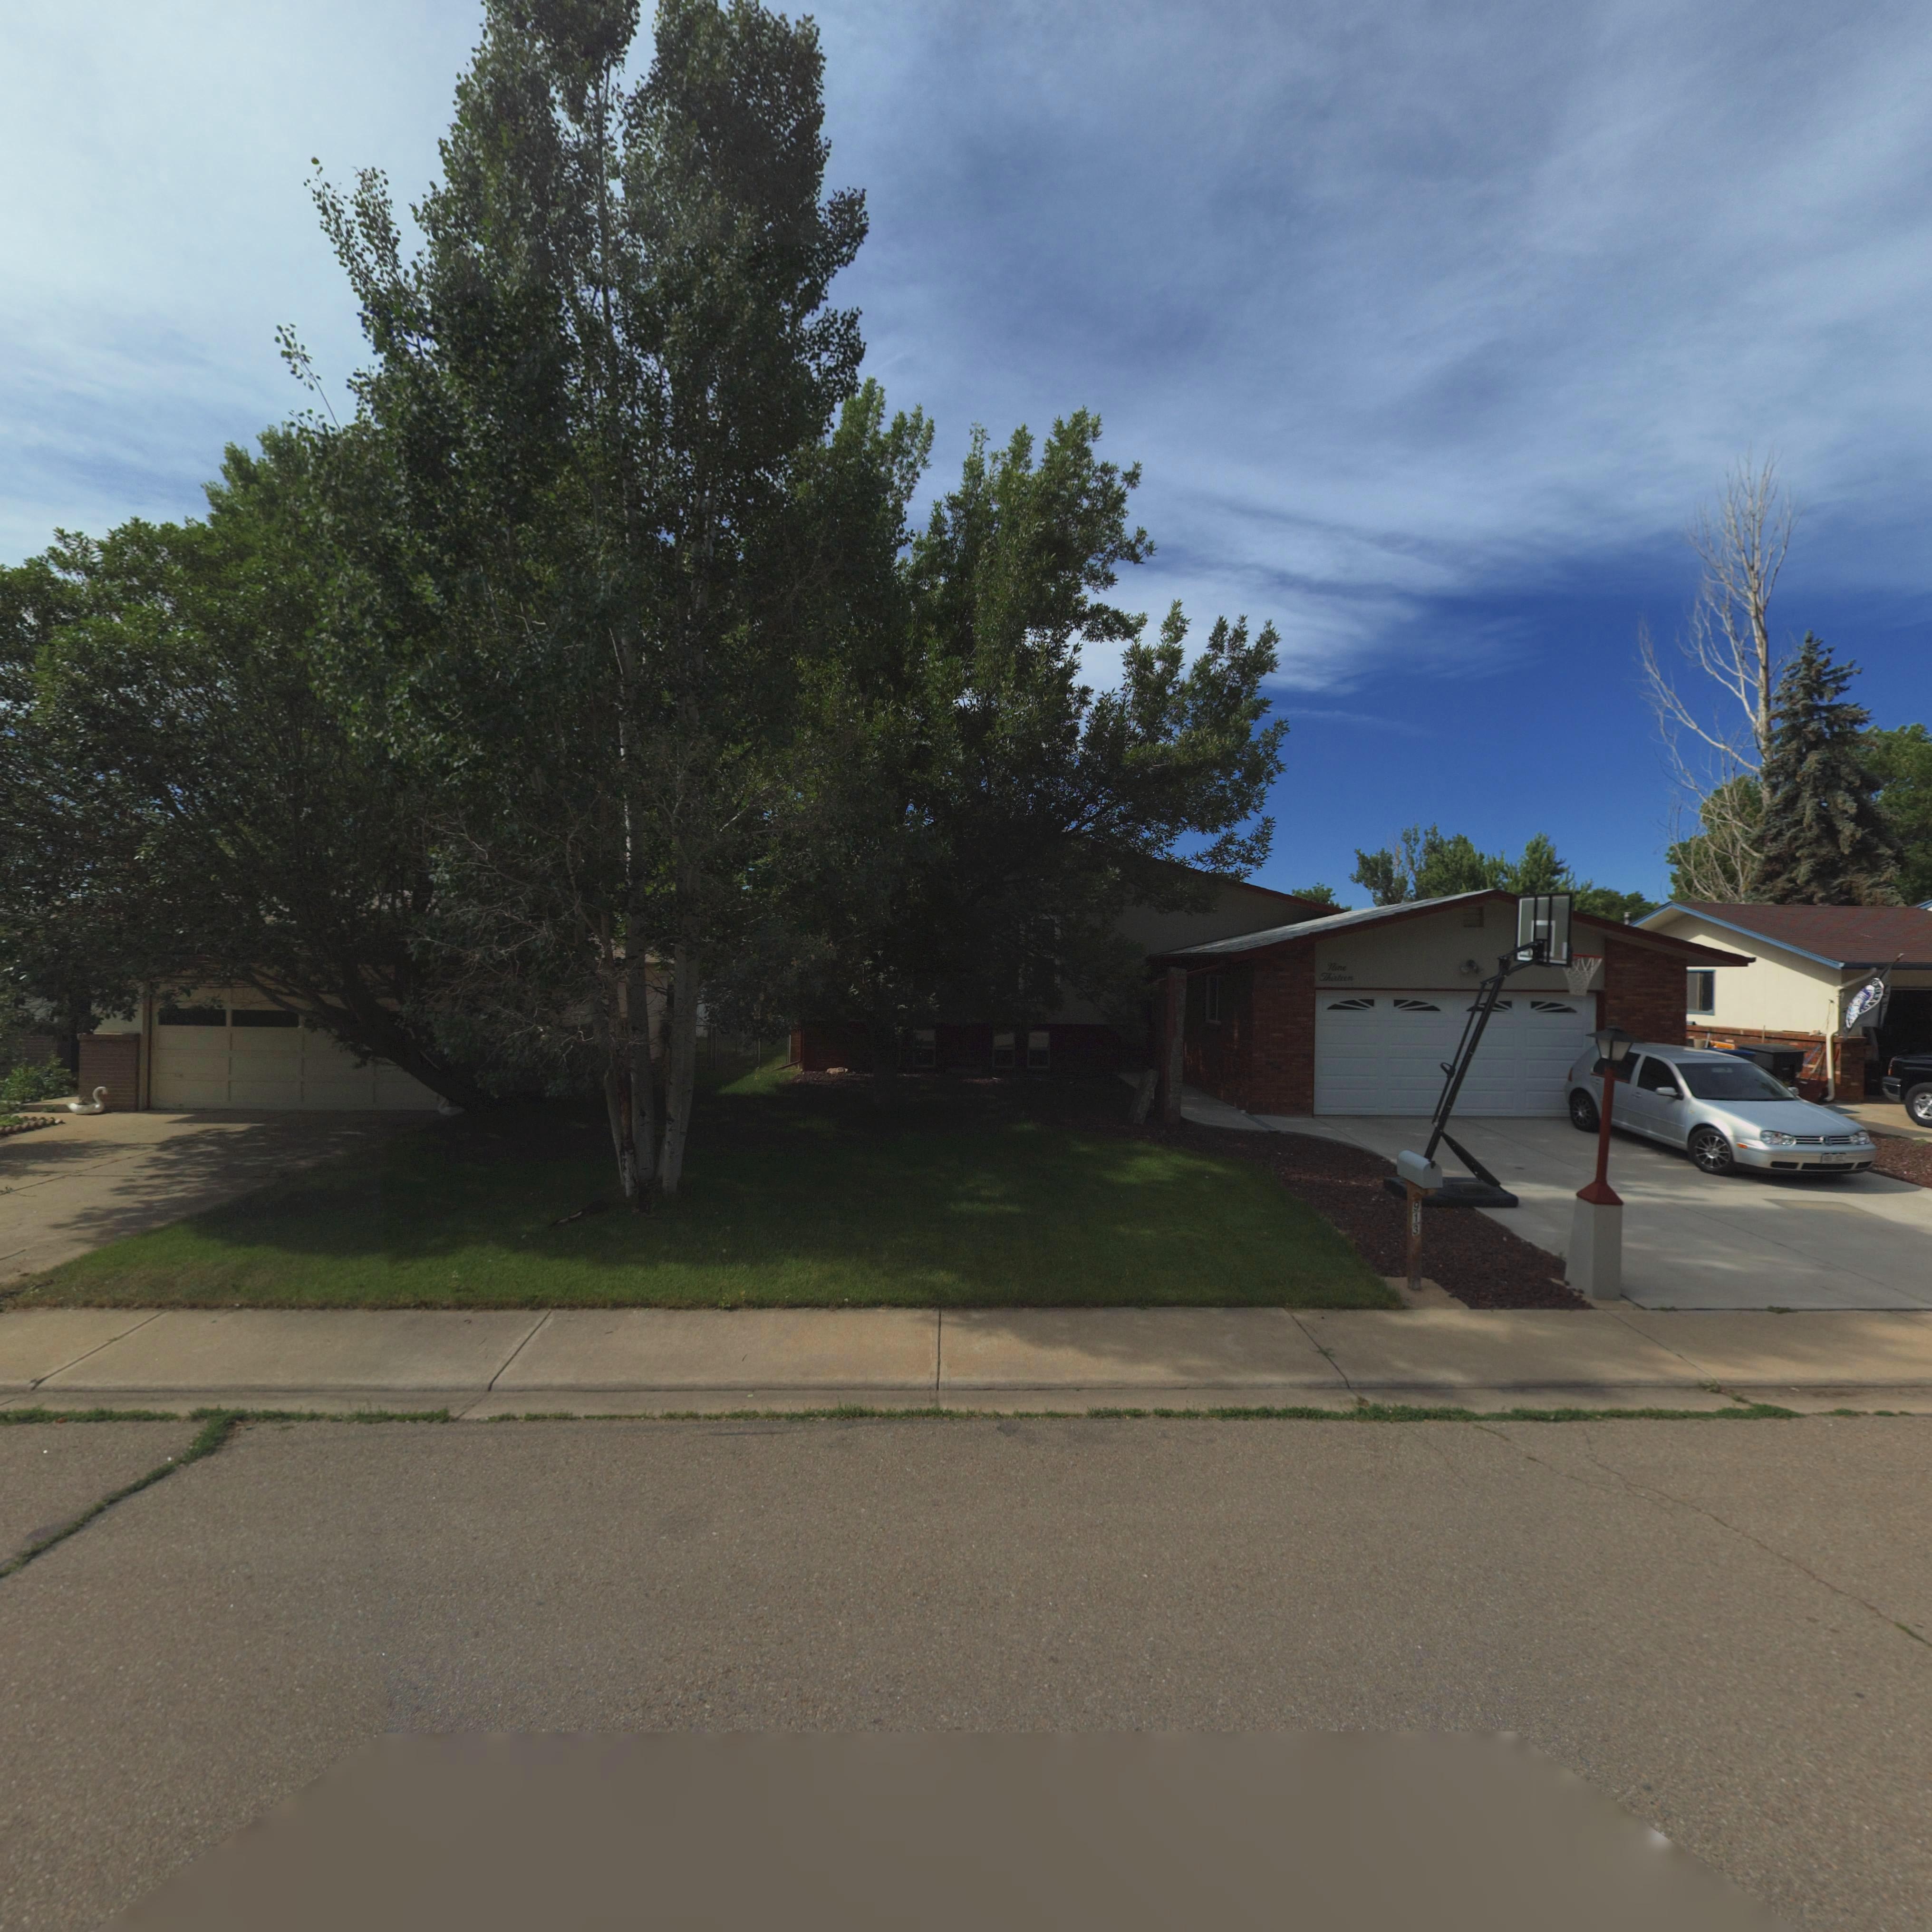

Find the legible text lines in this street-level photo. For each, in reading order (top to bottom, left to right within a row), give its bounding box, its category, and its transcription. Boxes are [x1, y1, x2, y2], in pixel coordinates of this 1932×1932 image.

[1327, 962, 1347, 971] StreetNumber: Nine
[1317, 972, 1353, 982] StreetNumber: Thirteen
[1412, 1200, 1420, 1235] StreetNumber: 913